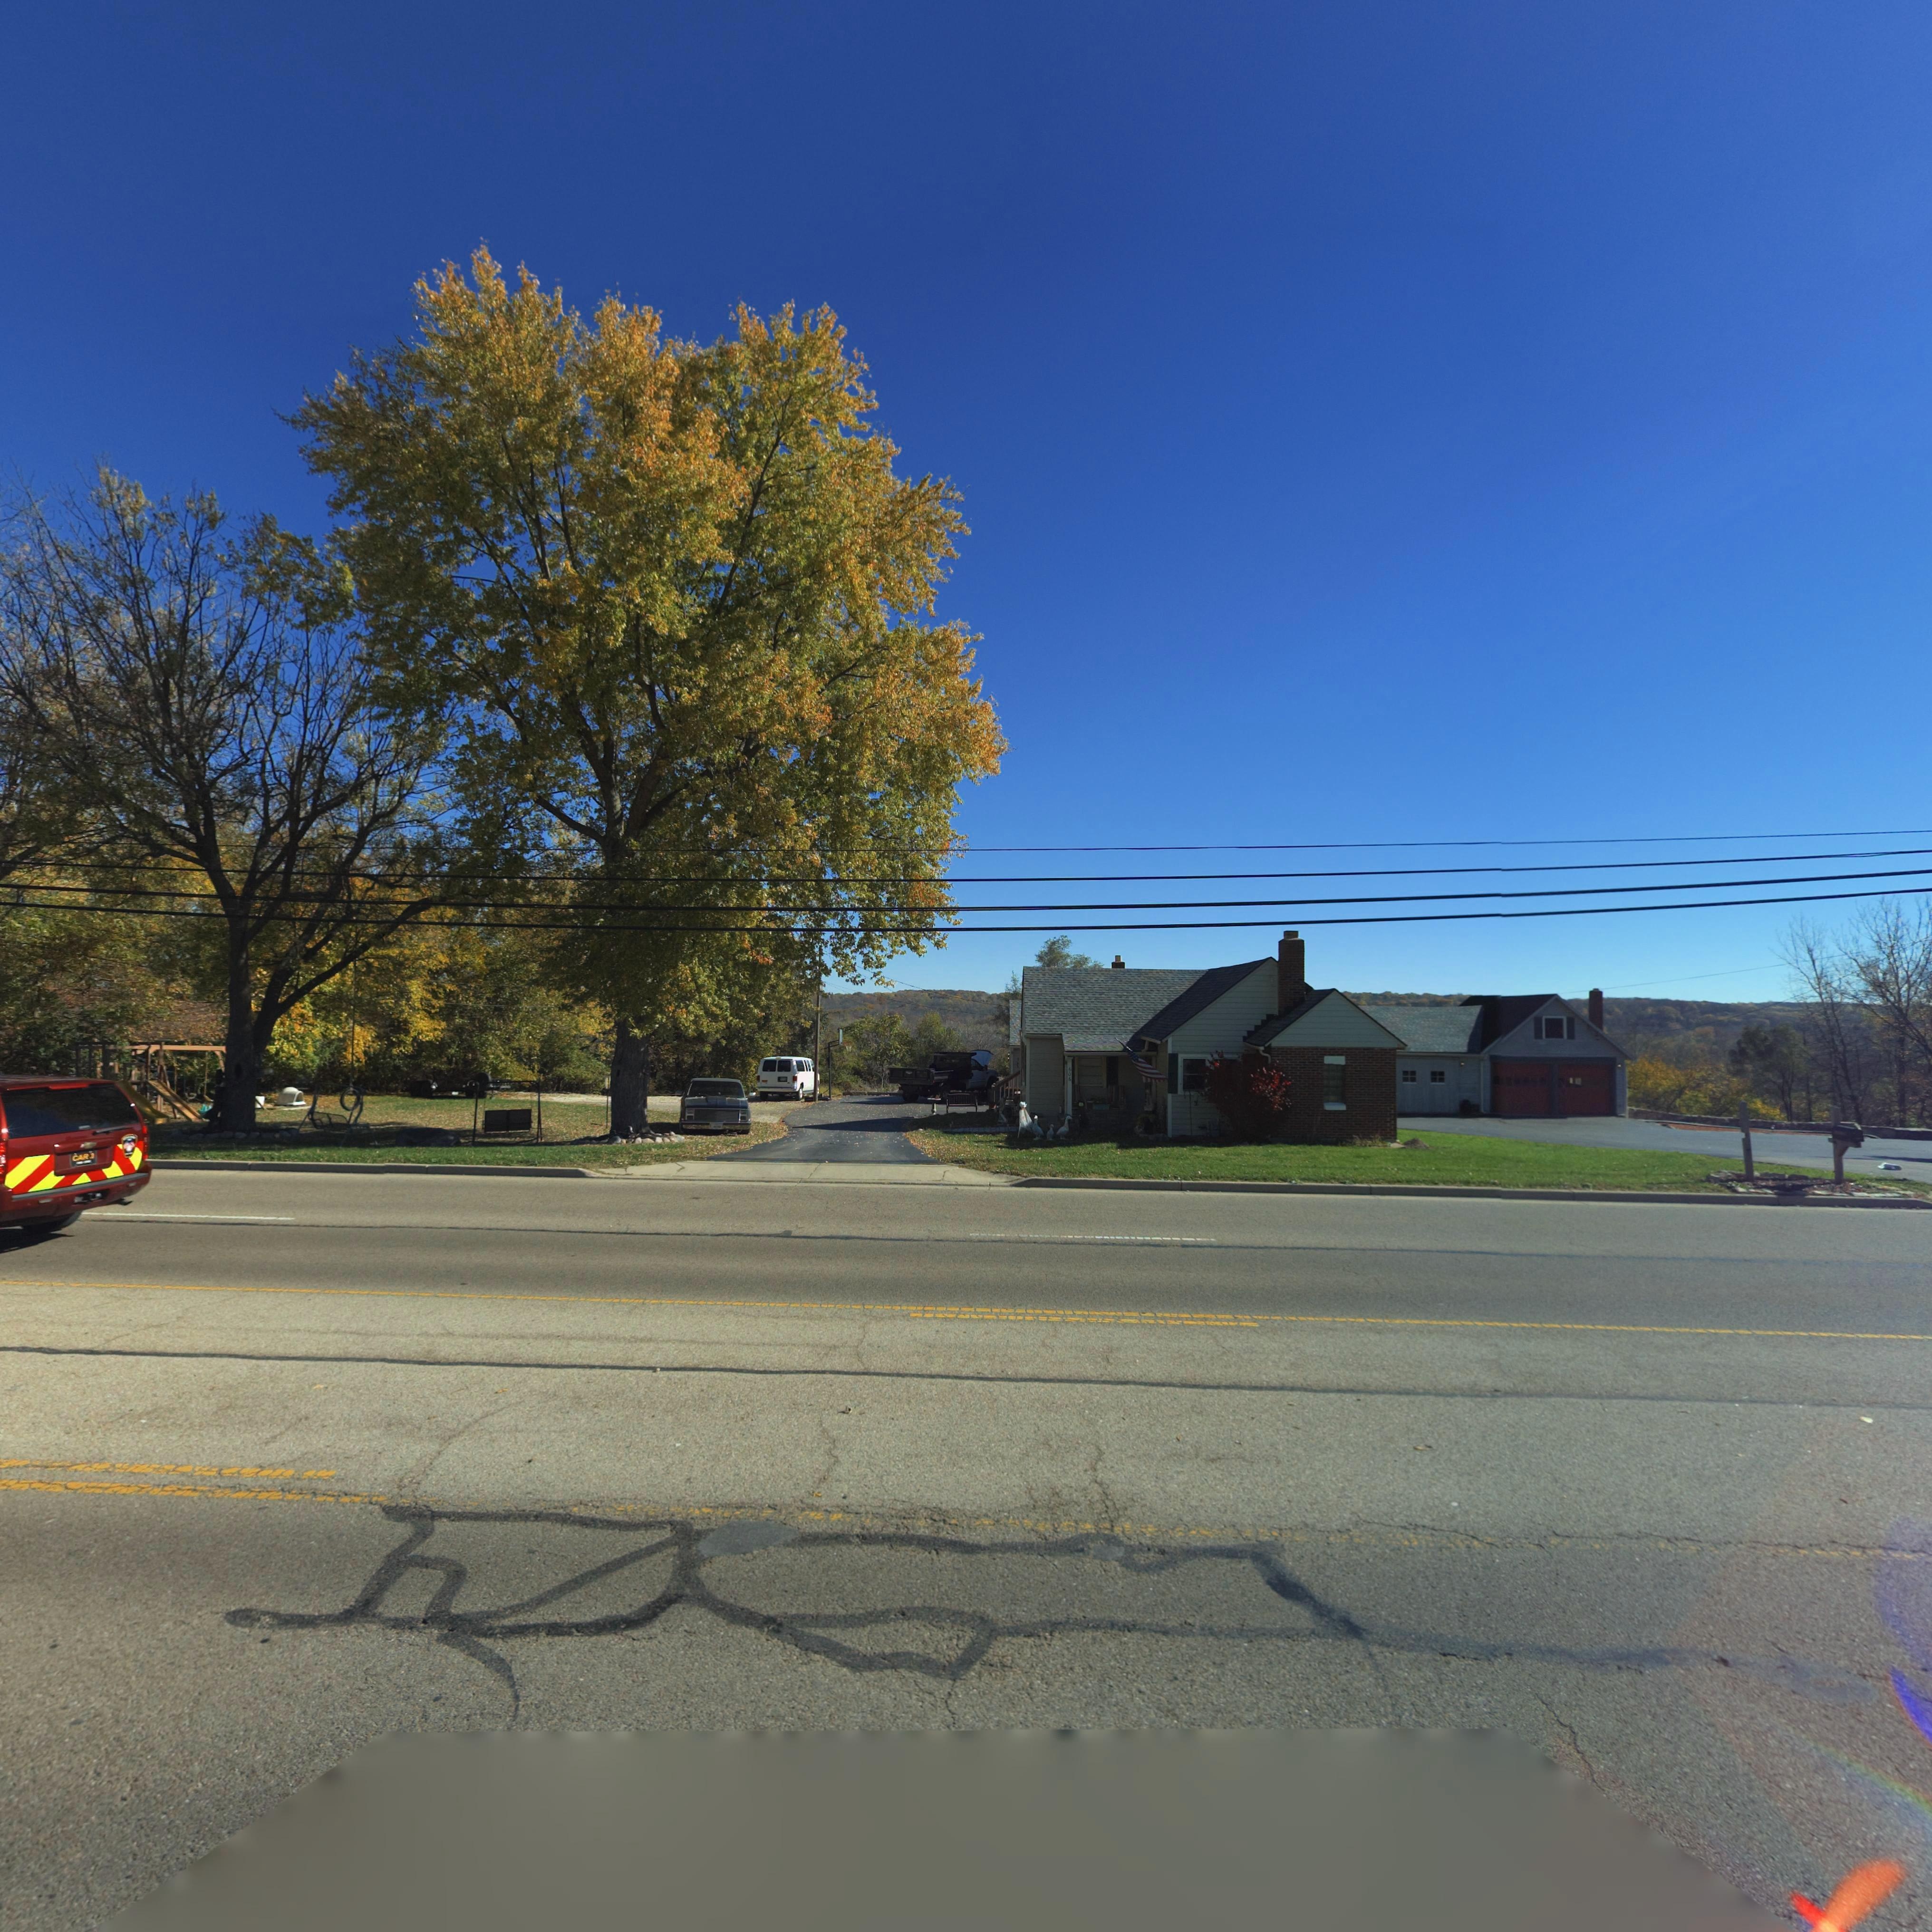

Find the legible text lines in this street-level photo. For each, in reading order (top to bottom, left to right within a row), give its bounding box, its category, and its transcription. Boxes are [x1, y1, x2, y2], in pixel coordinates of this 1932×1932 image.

[1068, 1066, 1072, 1082] StreetNumber: 606
[72, 1152, 89, 1162] None: CAR